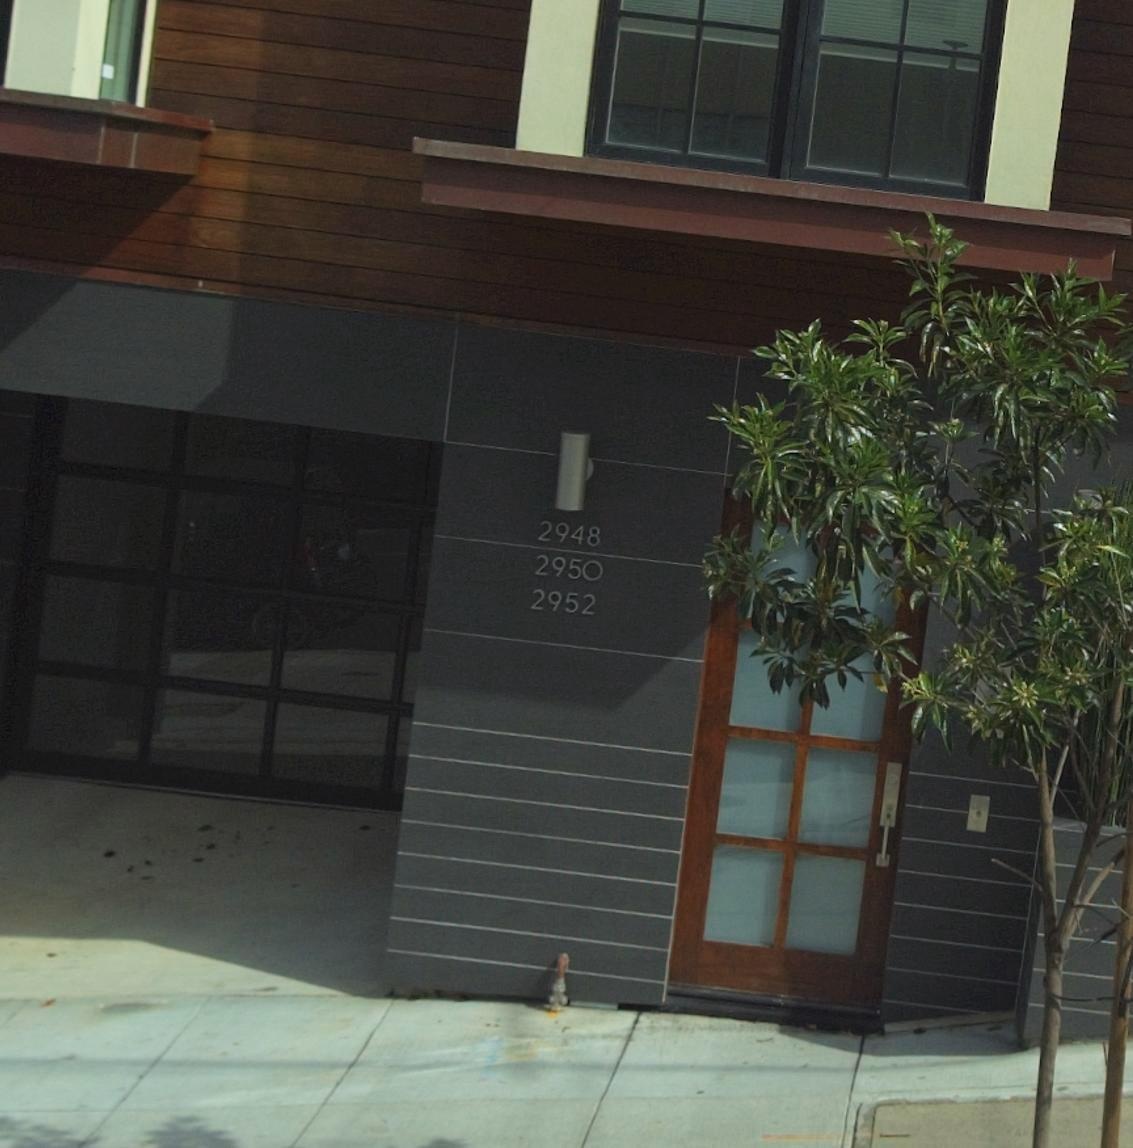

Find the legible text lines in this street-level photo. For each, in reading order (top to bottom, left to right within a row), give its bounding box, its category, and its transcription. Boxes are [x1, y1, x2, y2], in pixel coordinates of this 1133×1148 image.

[533, 516, 605, 551] StreetNumber: 2948
[531, 551, 606, 585] None: 2950
[527, 586, 599, 619] None: 2952